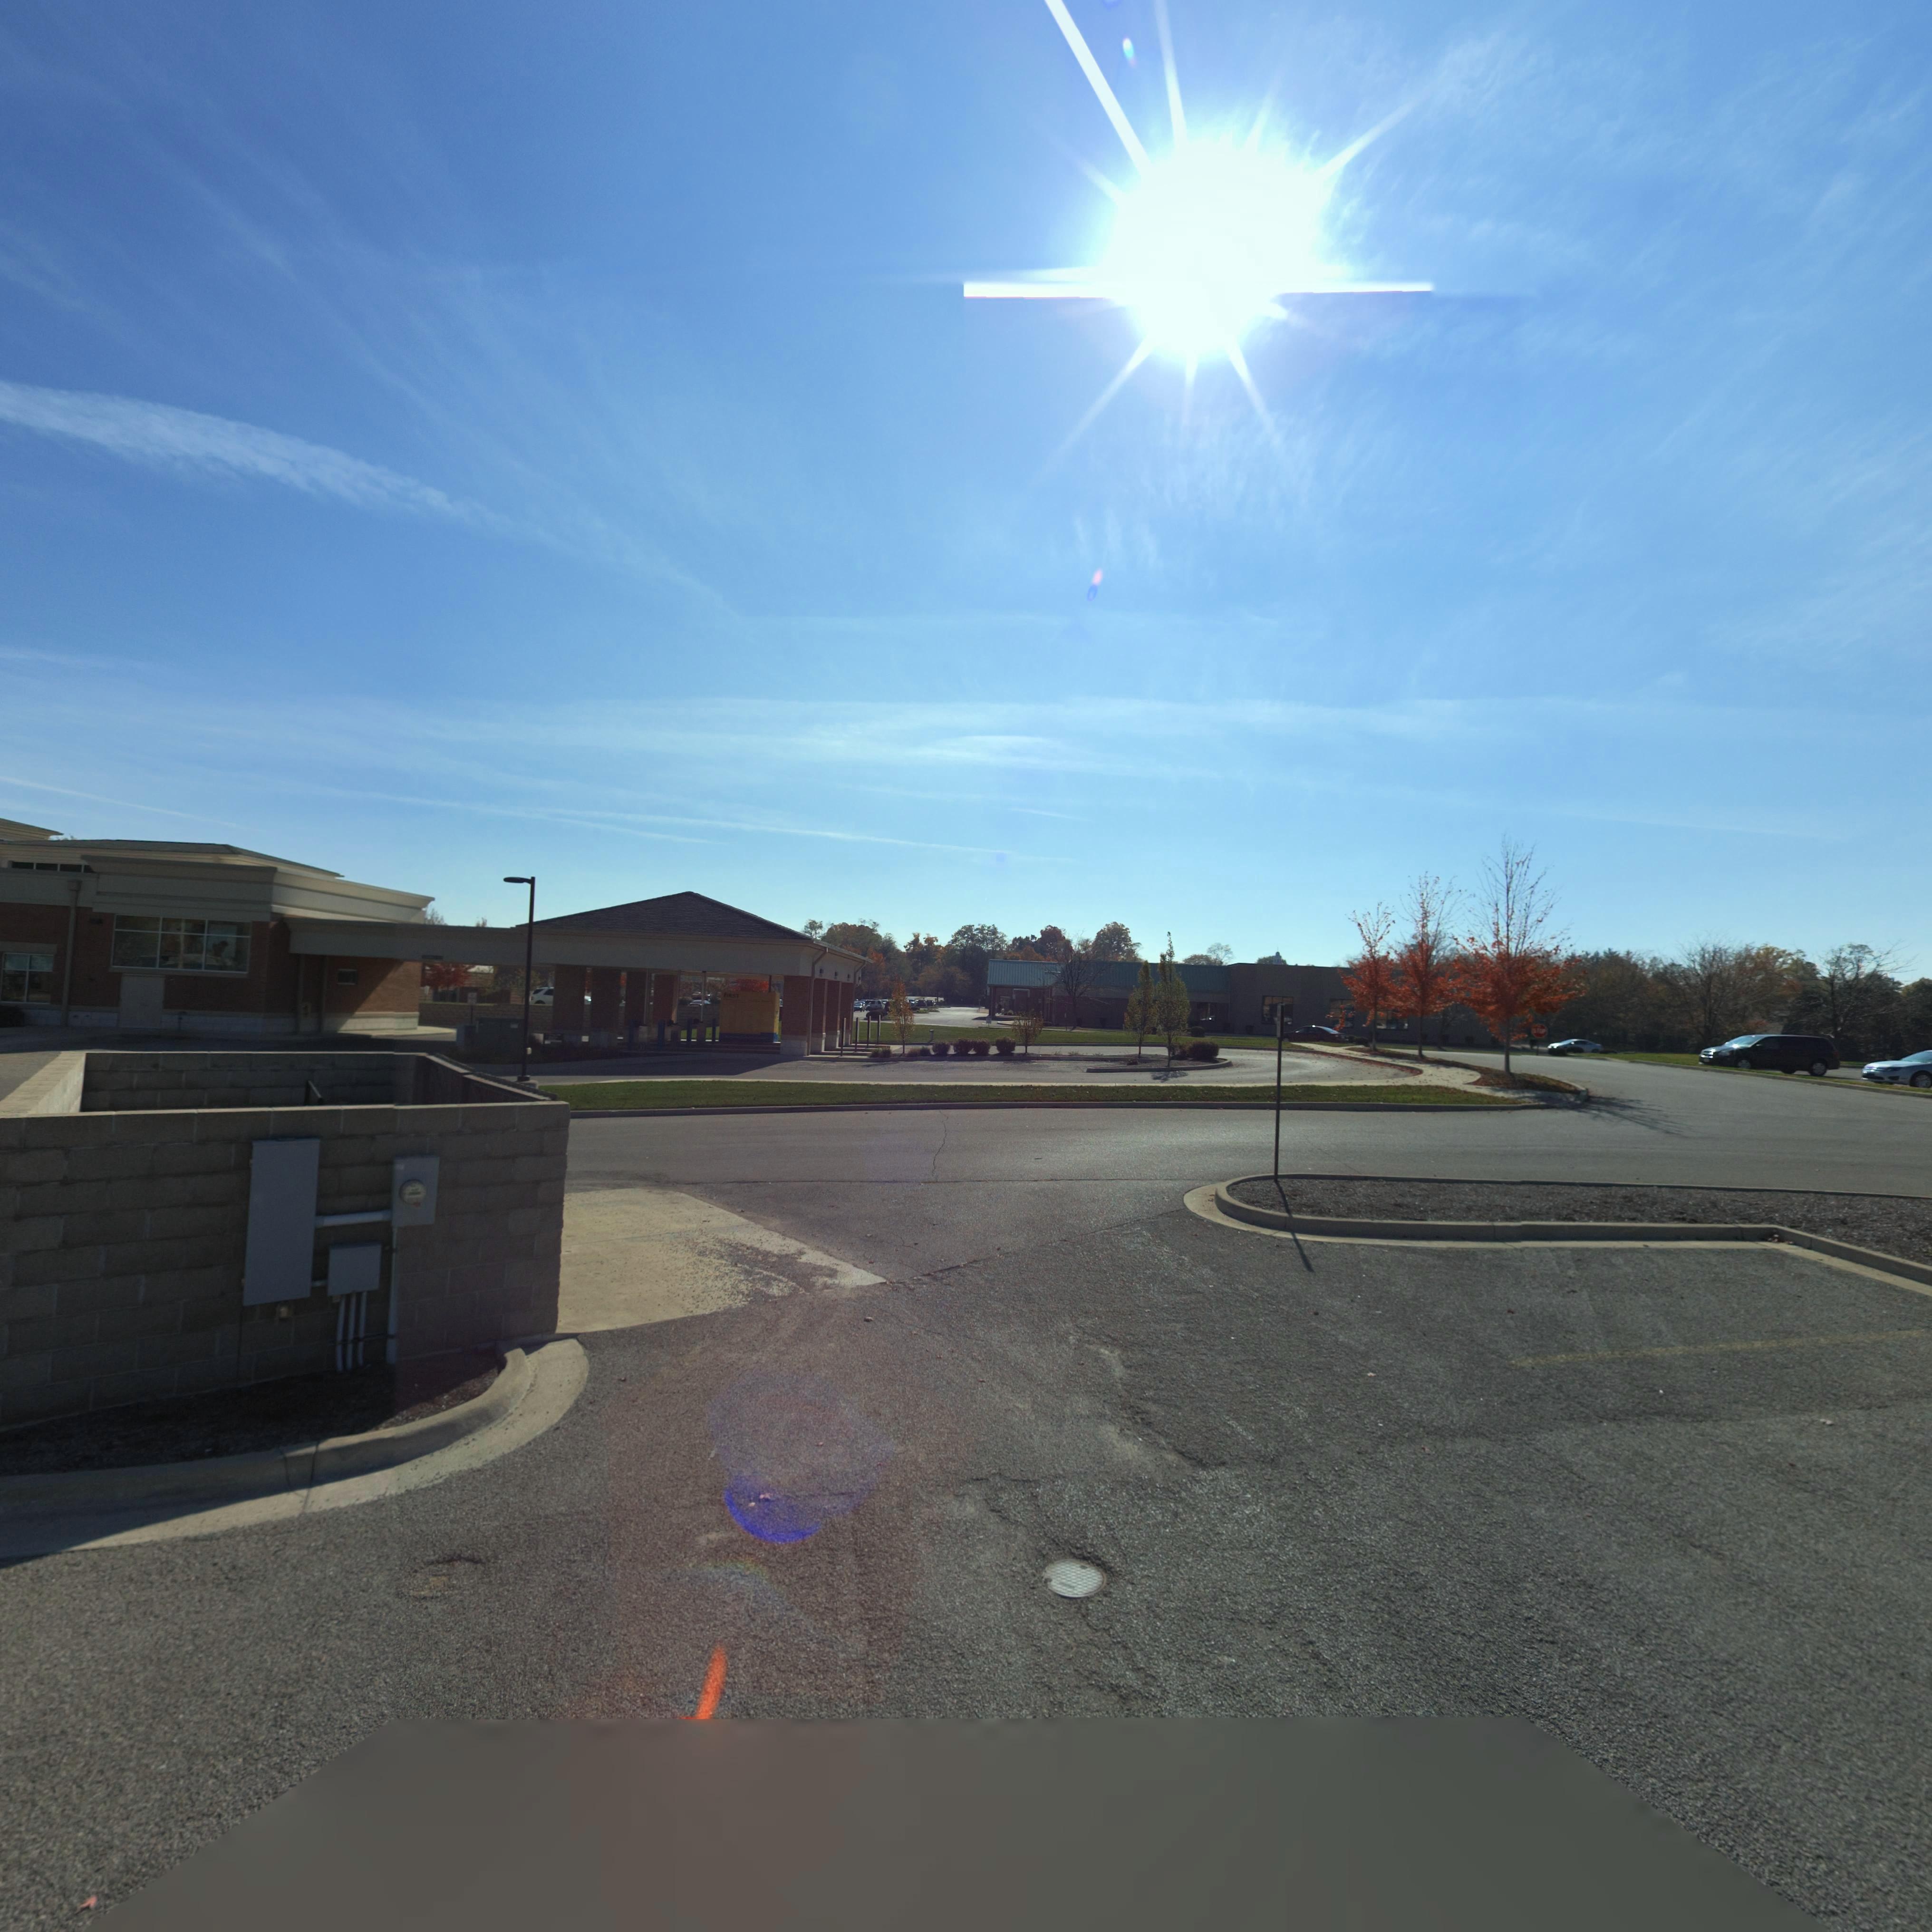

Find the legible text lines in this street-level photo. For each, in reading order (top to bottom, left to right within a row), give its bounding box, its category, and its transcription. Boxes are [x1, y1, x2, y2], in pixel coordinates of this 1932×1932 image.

[723, 991, 741, 1000] StreetNumber: *IRST